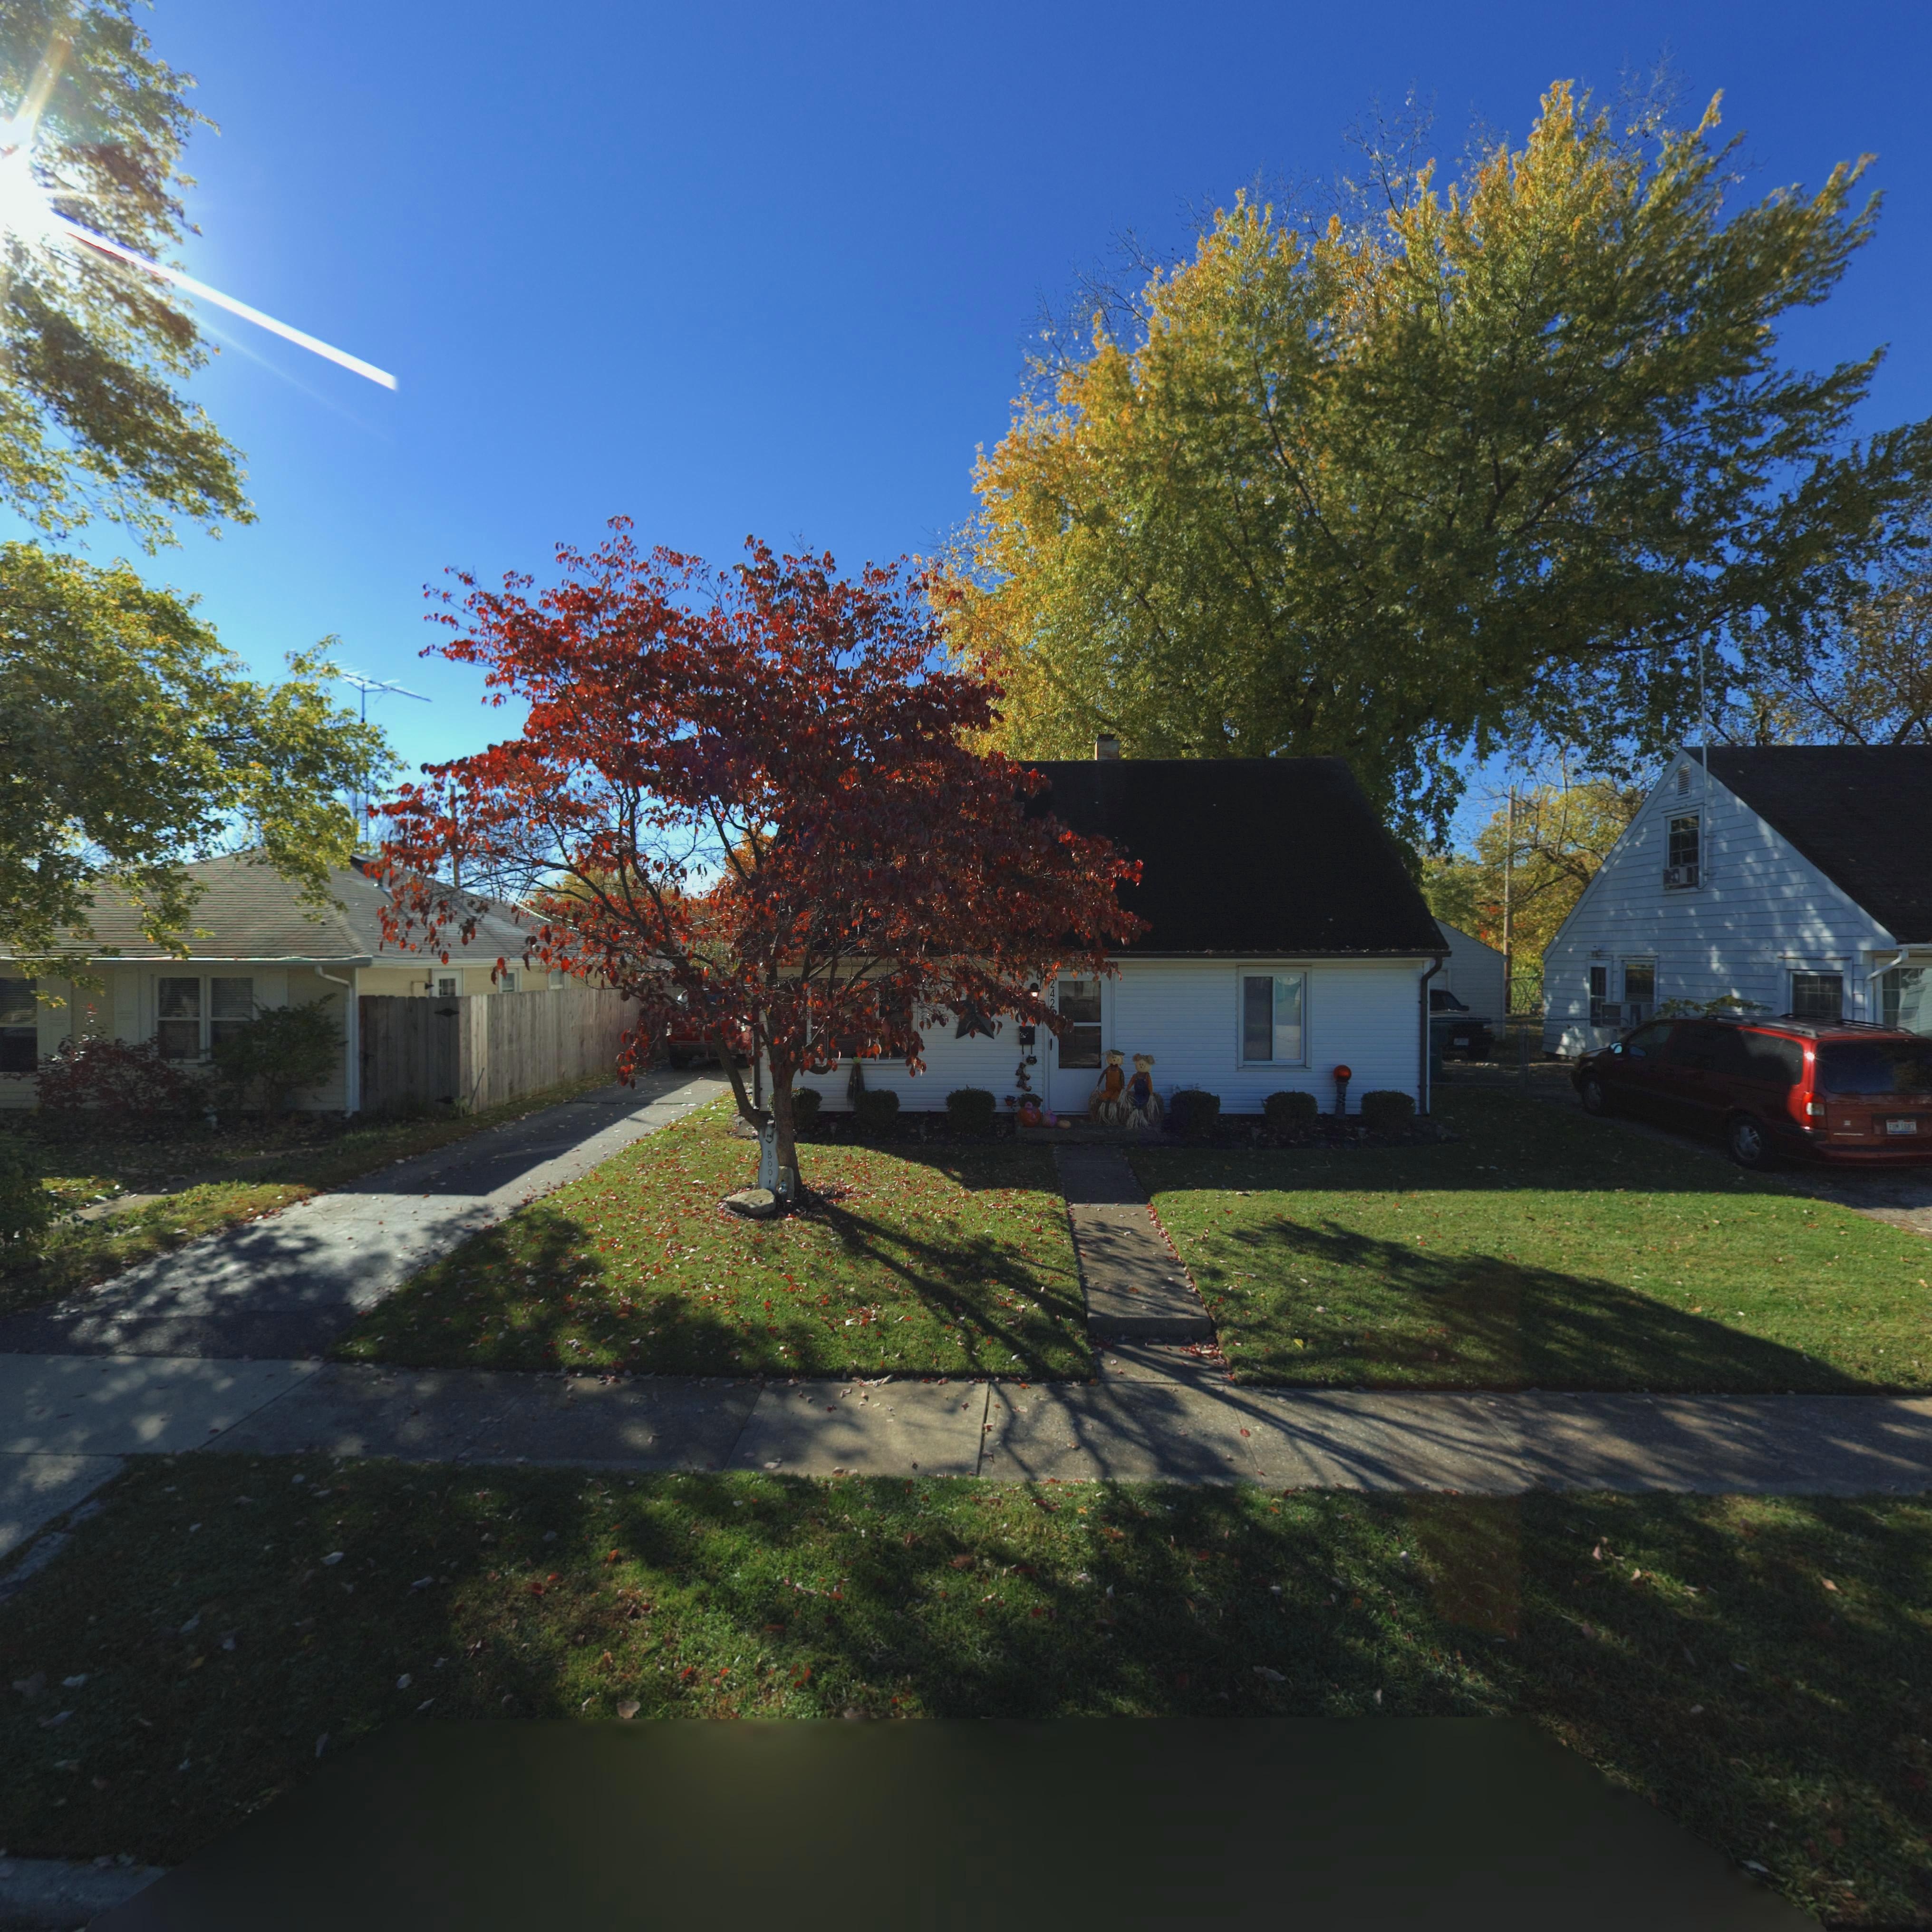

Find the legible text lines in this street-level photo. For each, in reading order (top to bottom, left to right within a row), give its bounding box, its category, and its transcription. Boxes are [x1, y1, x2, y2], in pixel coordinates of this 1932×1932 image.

[1049, 978, 1056, 1008] StreetNumber: 242
[1888, 1122, 1916, 1131] None: EU*1*87
[767, 1150, 773, 1177] None: BOO